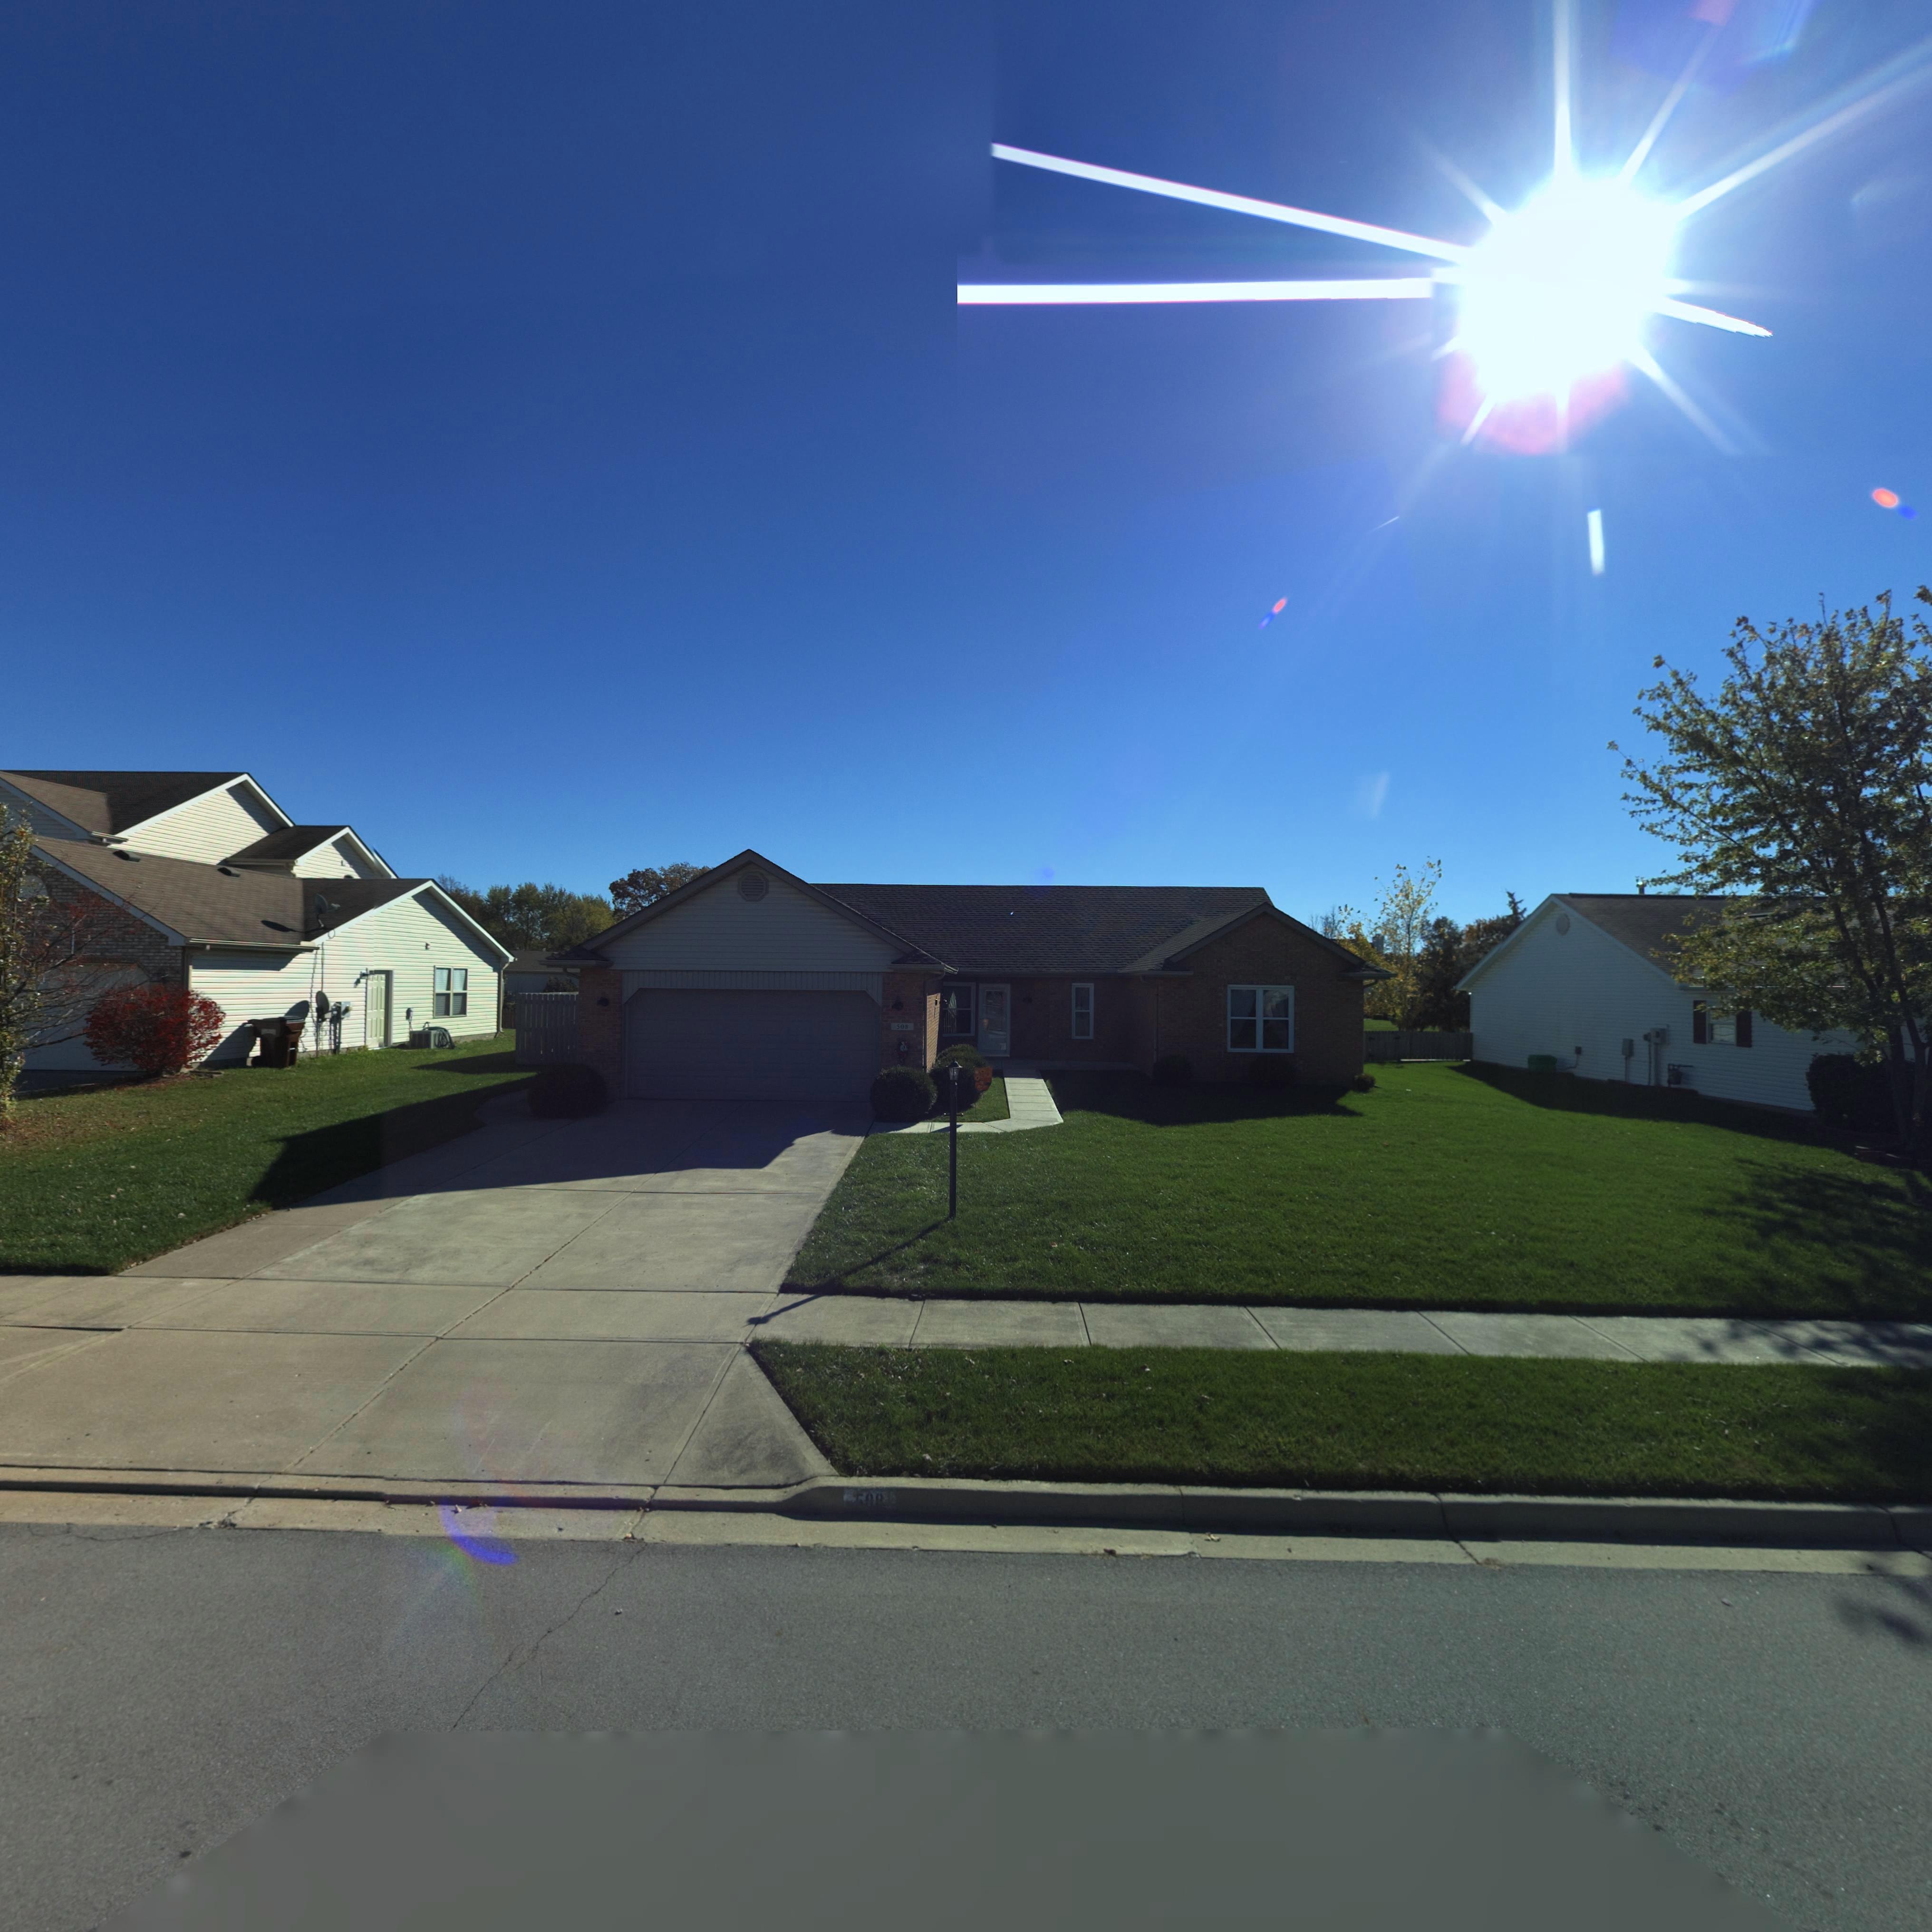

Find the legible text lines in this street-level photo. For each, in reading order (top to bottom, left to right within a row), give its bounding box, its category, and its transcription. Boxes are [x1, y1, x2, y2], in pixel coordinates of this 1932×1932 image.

[896, 1023, 909, 1030] StreetNumber: 508